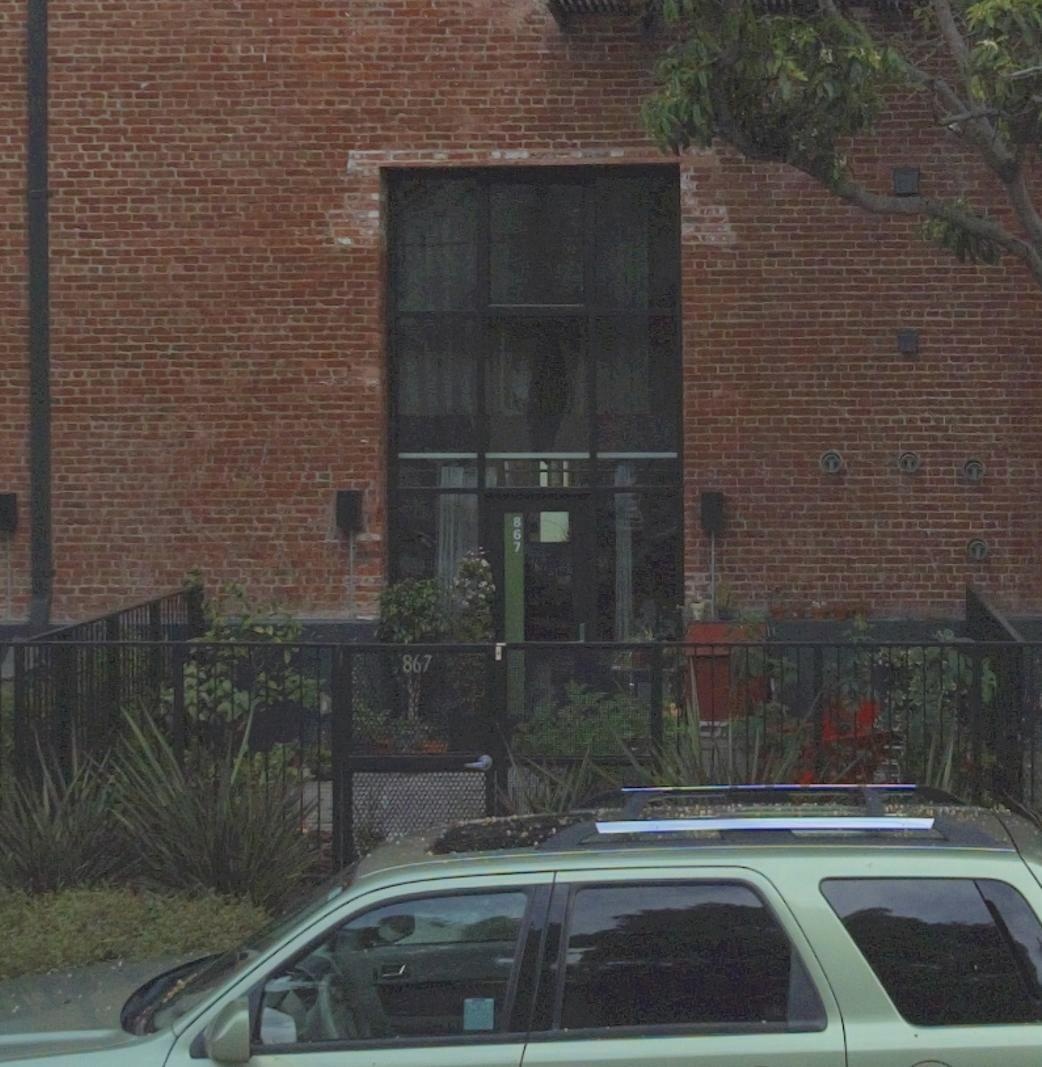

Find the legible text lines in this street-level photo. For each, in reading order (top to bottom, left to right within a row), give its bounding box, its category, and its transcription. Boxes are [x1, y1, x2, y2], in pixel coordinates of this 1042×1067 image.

[512, 516, 522, 553] StreetNumber: 867
[399, 653, 435, 674] StreetNumber: 867